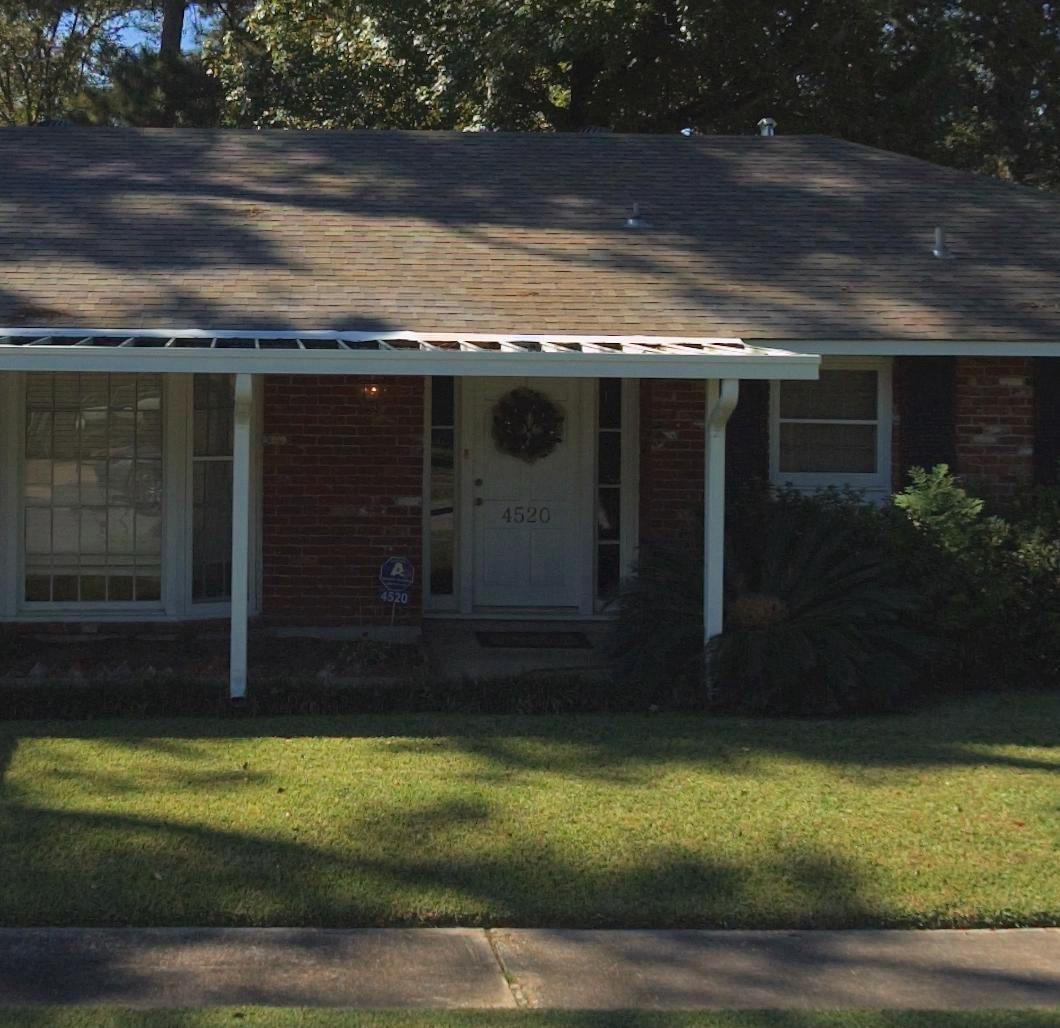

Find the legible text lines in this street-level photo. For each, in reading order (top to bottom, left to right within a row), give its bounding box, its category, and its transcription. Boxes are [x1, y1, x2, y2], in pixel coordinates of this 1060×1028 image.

[500, 505, 552, 525] StreetNumber: 4520
[386, 561, 406, 579] None: A
[378, 588, 410, 606] StreetNumber: 4520